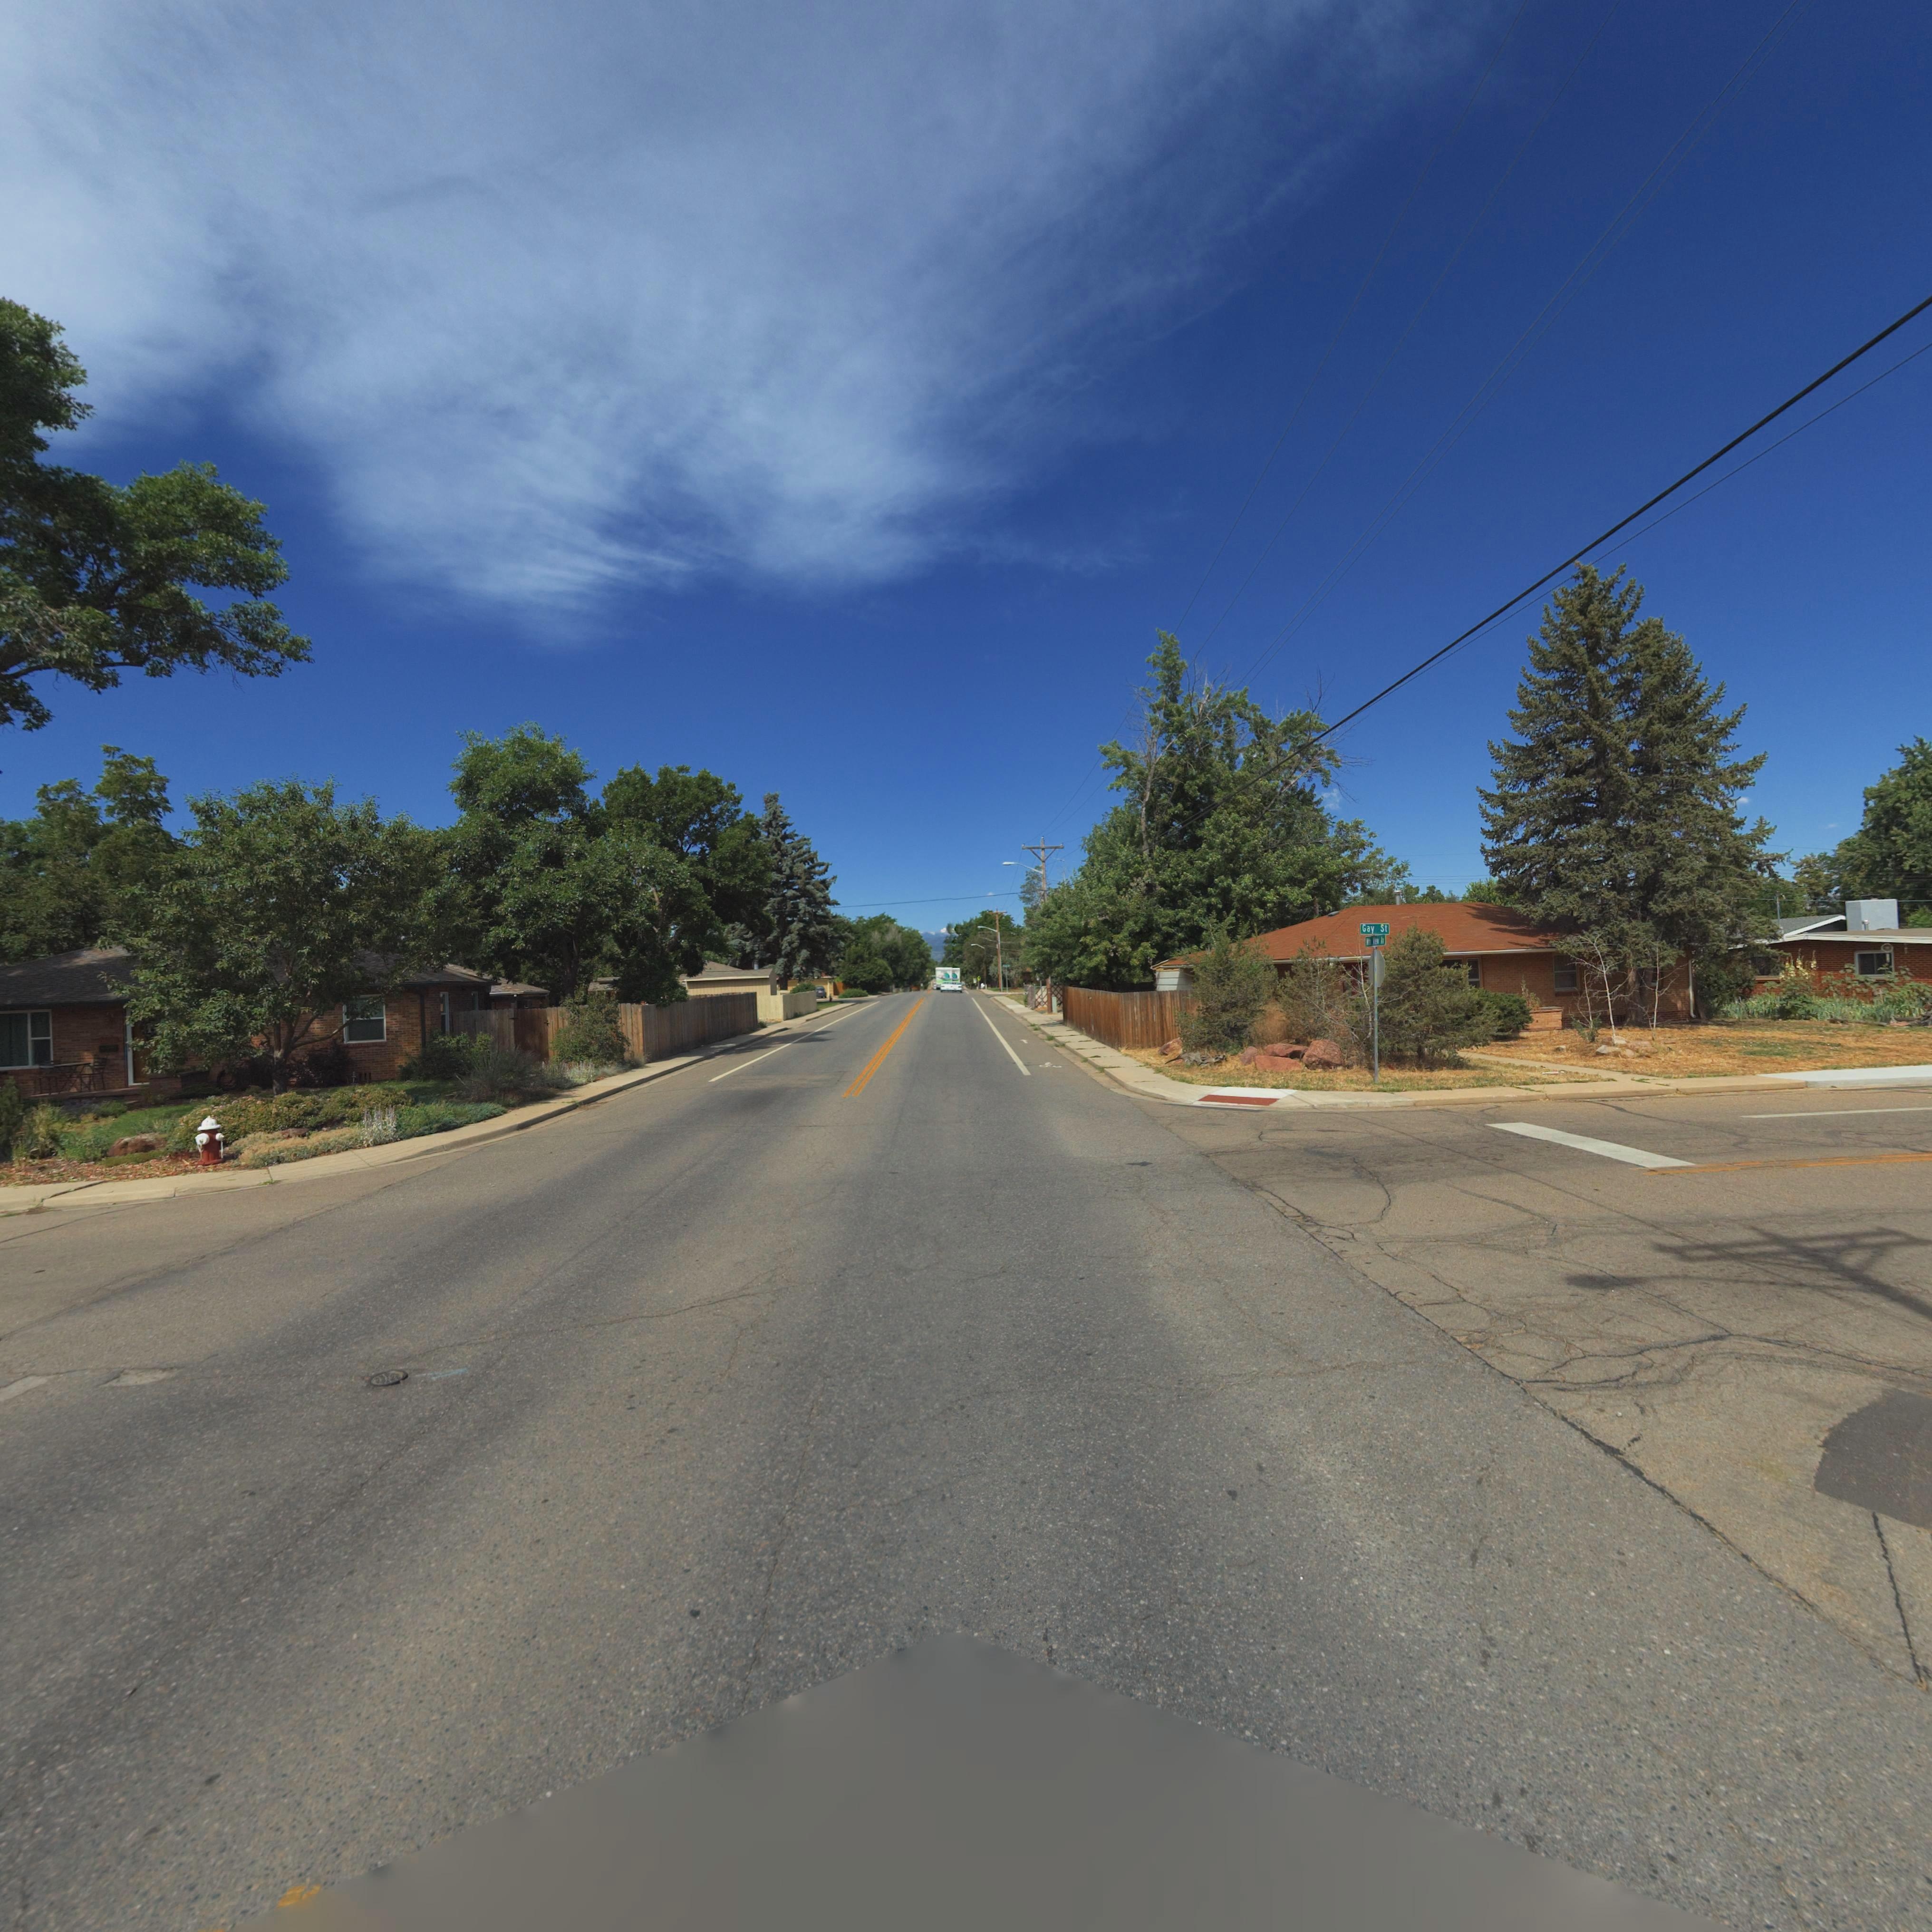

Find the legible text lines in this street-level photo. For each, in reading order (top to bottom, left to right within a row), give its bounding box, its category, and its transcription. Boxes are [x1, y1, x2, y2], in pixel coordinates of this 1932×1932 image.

[1362, 924, 1388, 934] StreetName: Gay St
[1366, 936, 1384, 946] StreetName: *tn V*e* **